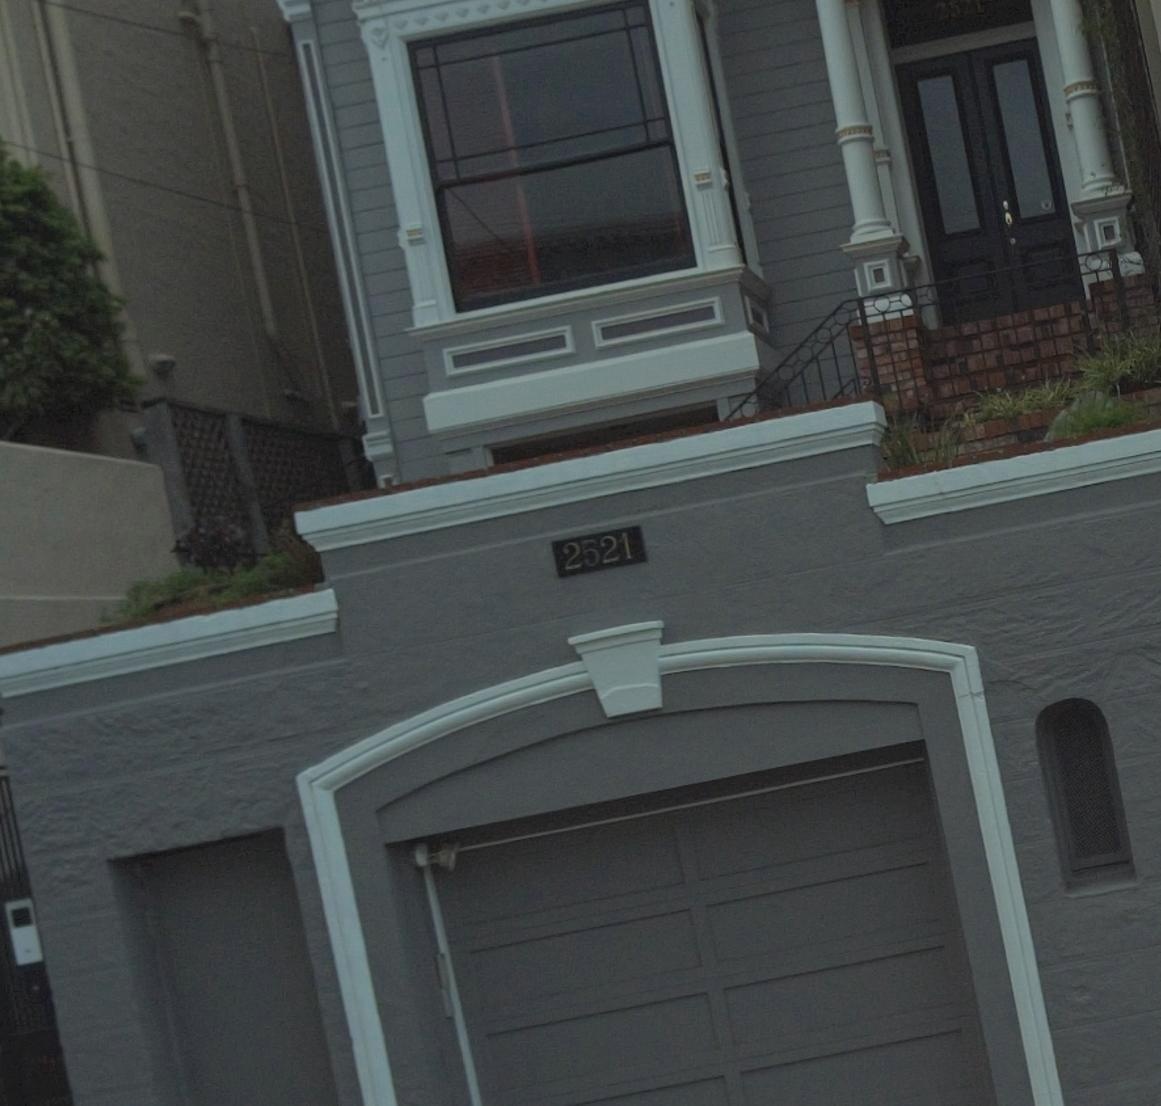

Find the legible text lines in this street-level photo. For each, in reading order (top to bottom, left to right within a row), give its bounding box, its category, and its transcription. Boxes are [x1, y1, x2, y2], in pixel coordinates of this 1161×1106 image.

[558, 527, 637, 575] StreetNumber: 2521